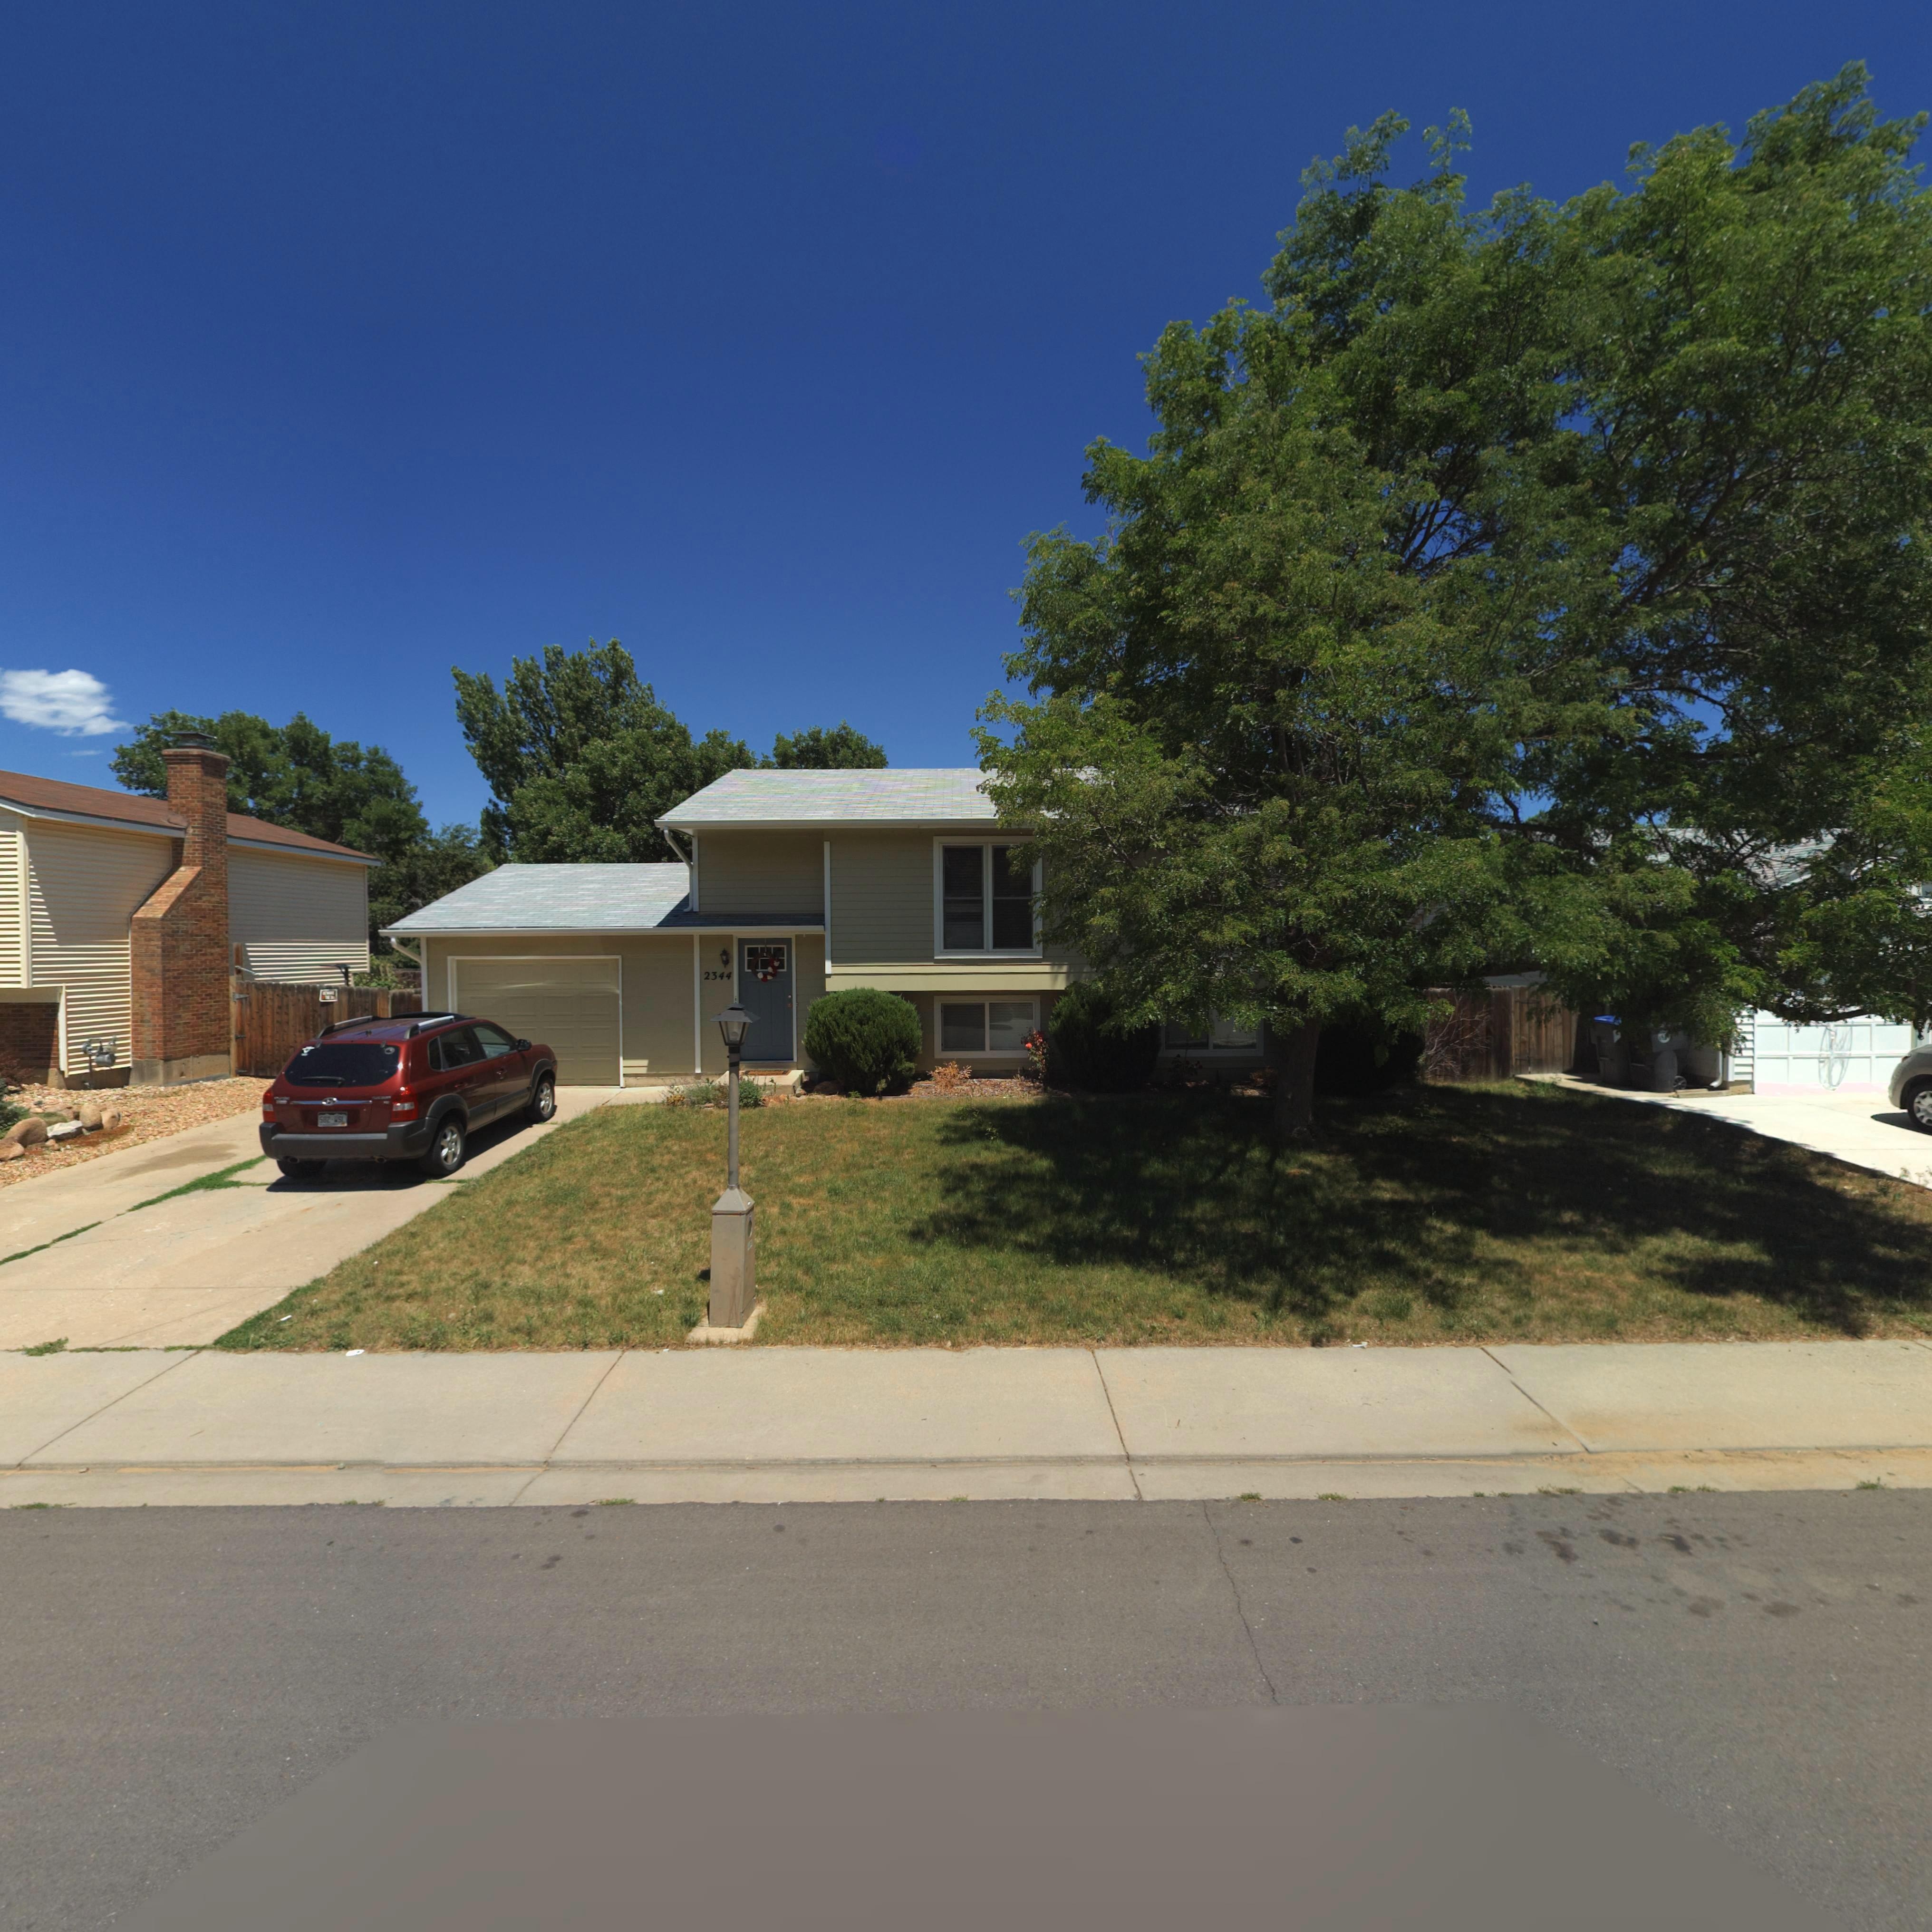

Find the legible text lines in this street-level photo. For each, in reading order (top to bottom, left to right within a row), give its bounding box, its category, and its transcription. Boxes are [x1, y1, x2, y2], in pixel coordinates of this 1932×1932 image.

[703, 971, 732, 980] StreetNumber: 2344